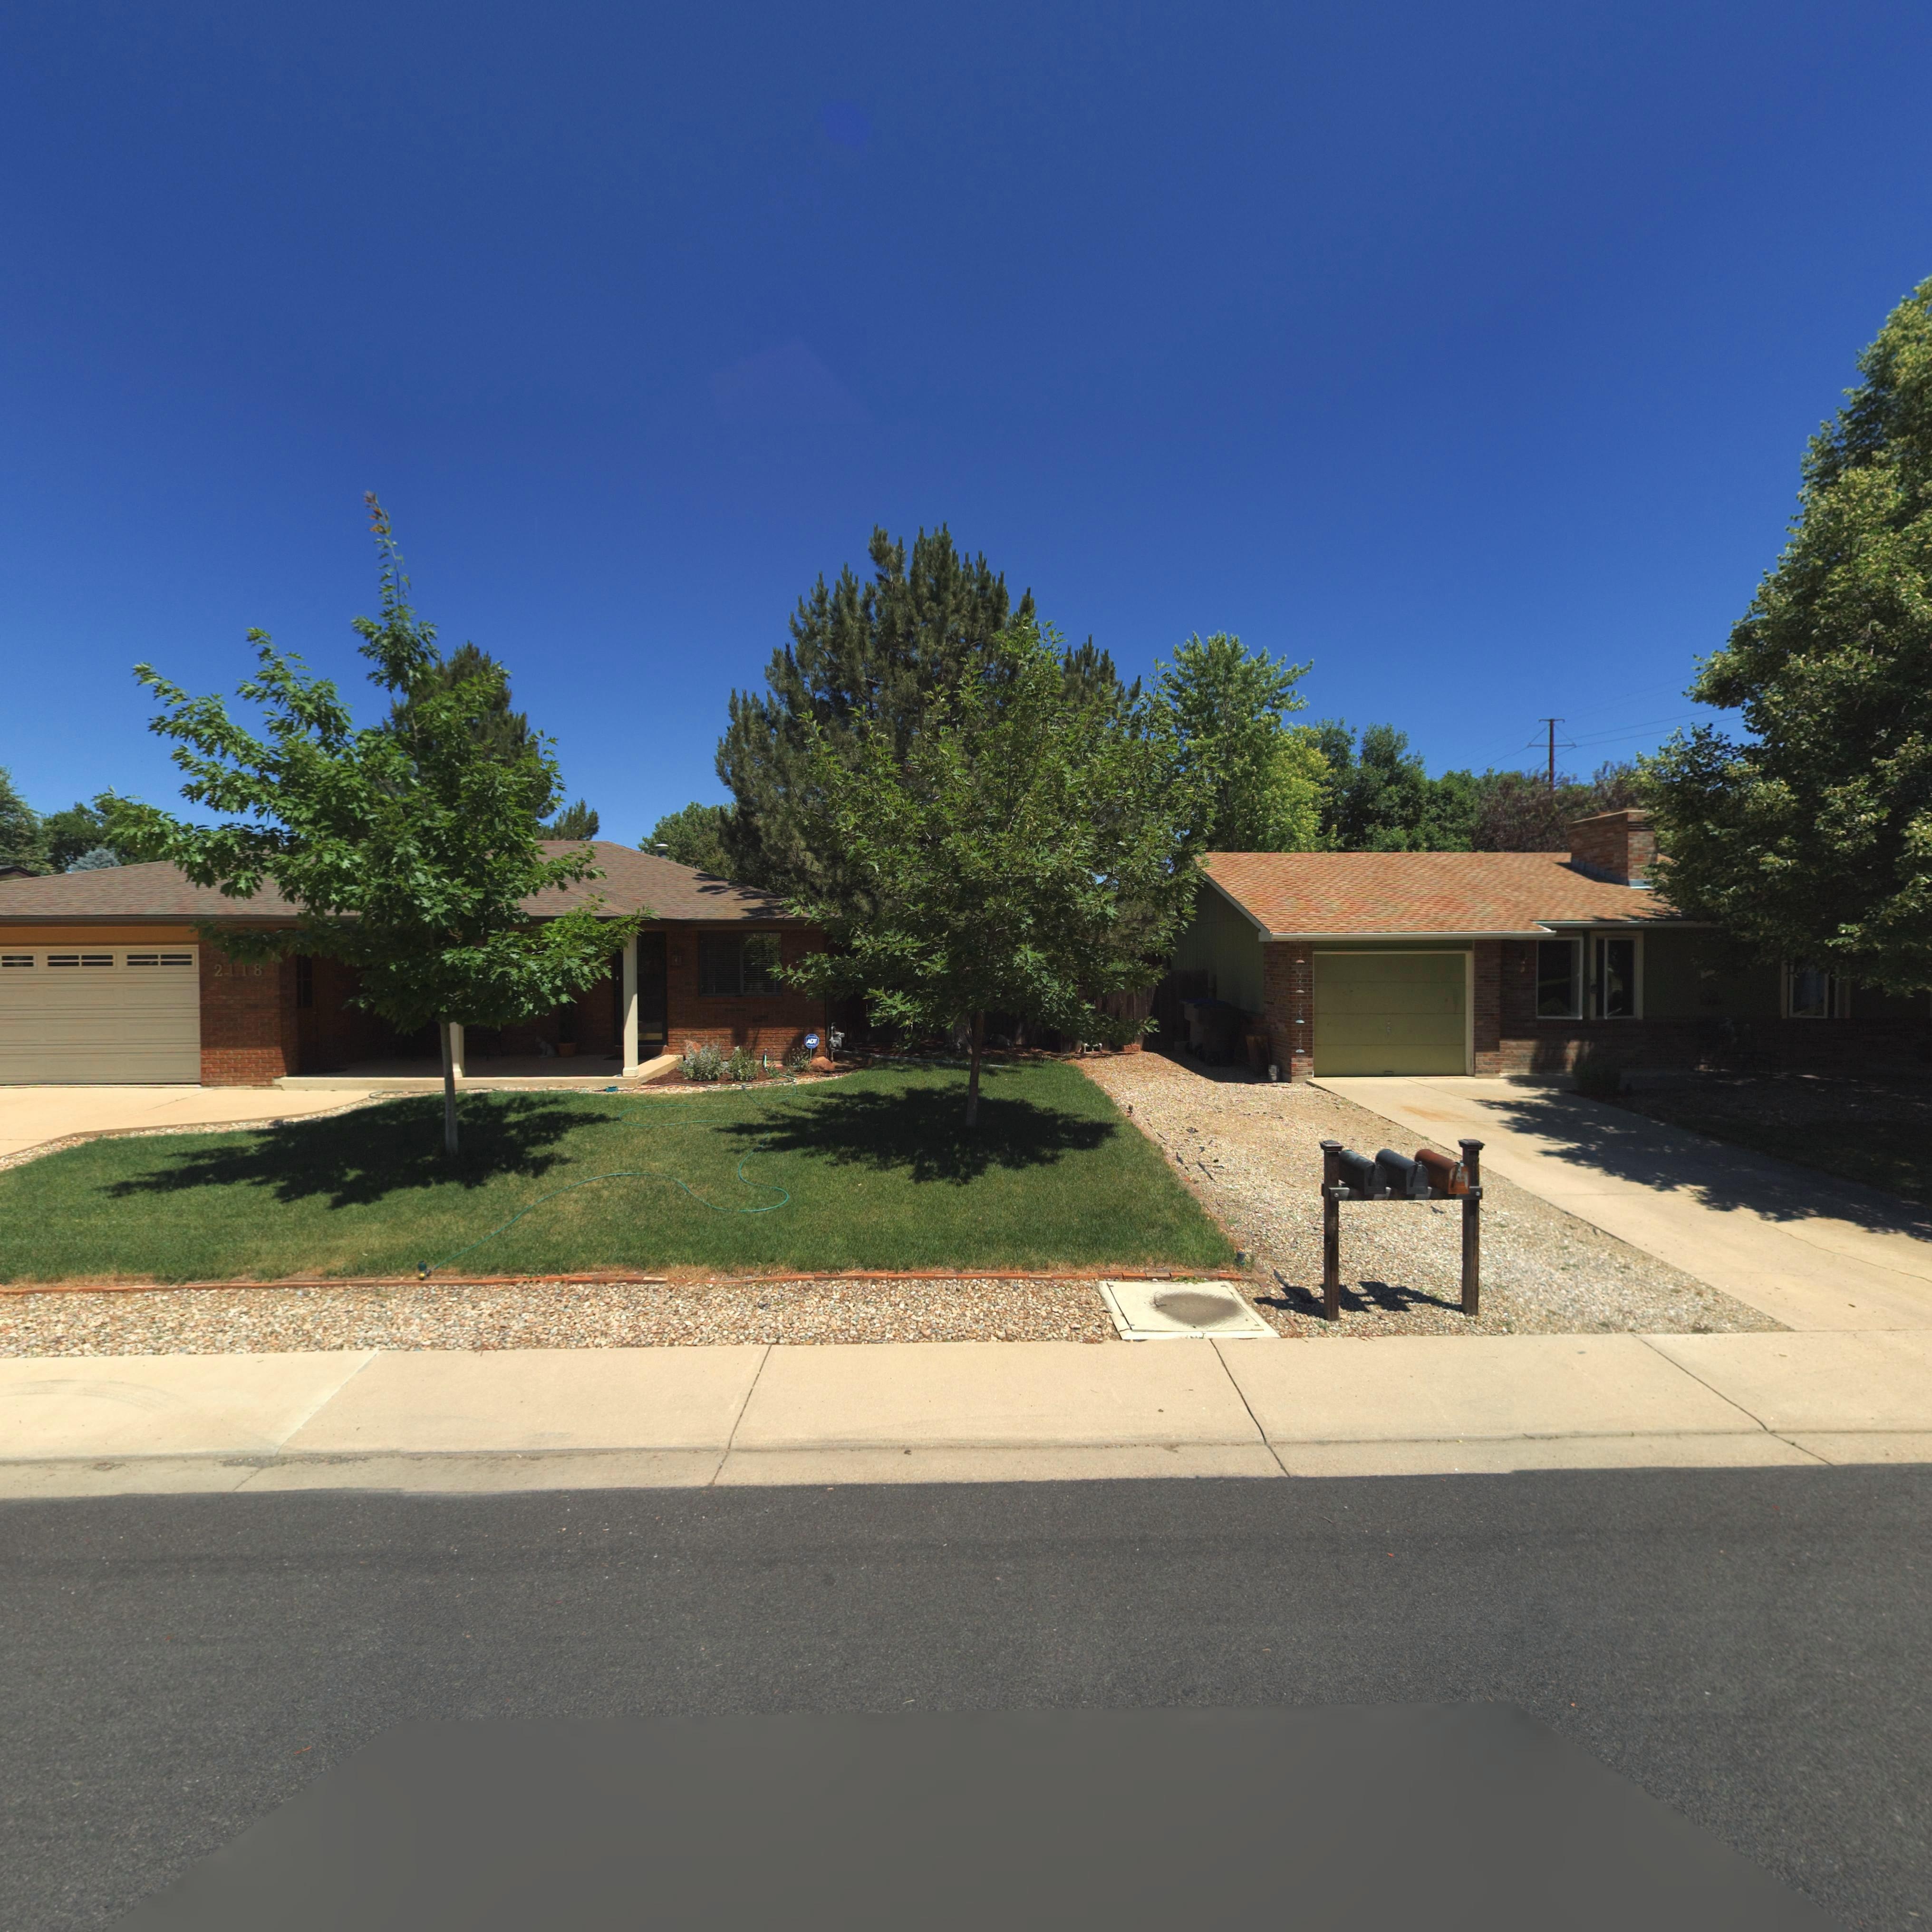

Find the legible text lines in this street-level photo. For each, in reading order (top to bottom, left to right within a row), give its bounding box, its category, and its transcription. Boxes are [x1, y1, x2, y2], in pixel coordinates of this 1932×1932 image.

[213, 963, 263, 977] StreetNumber: 2118